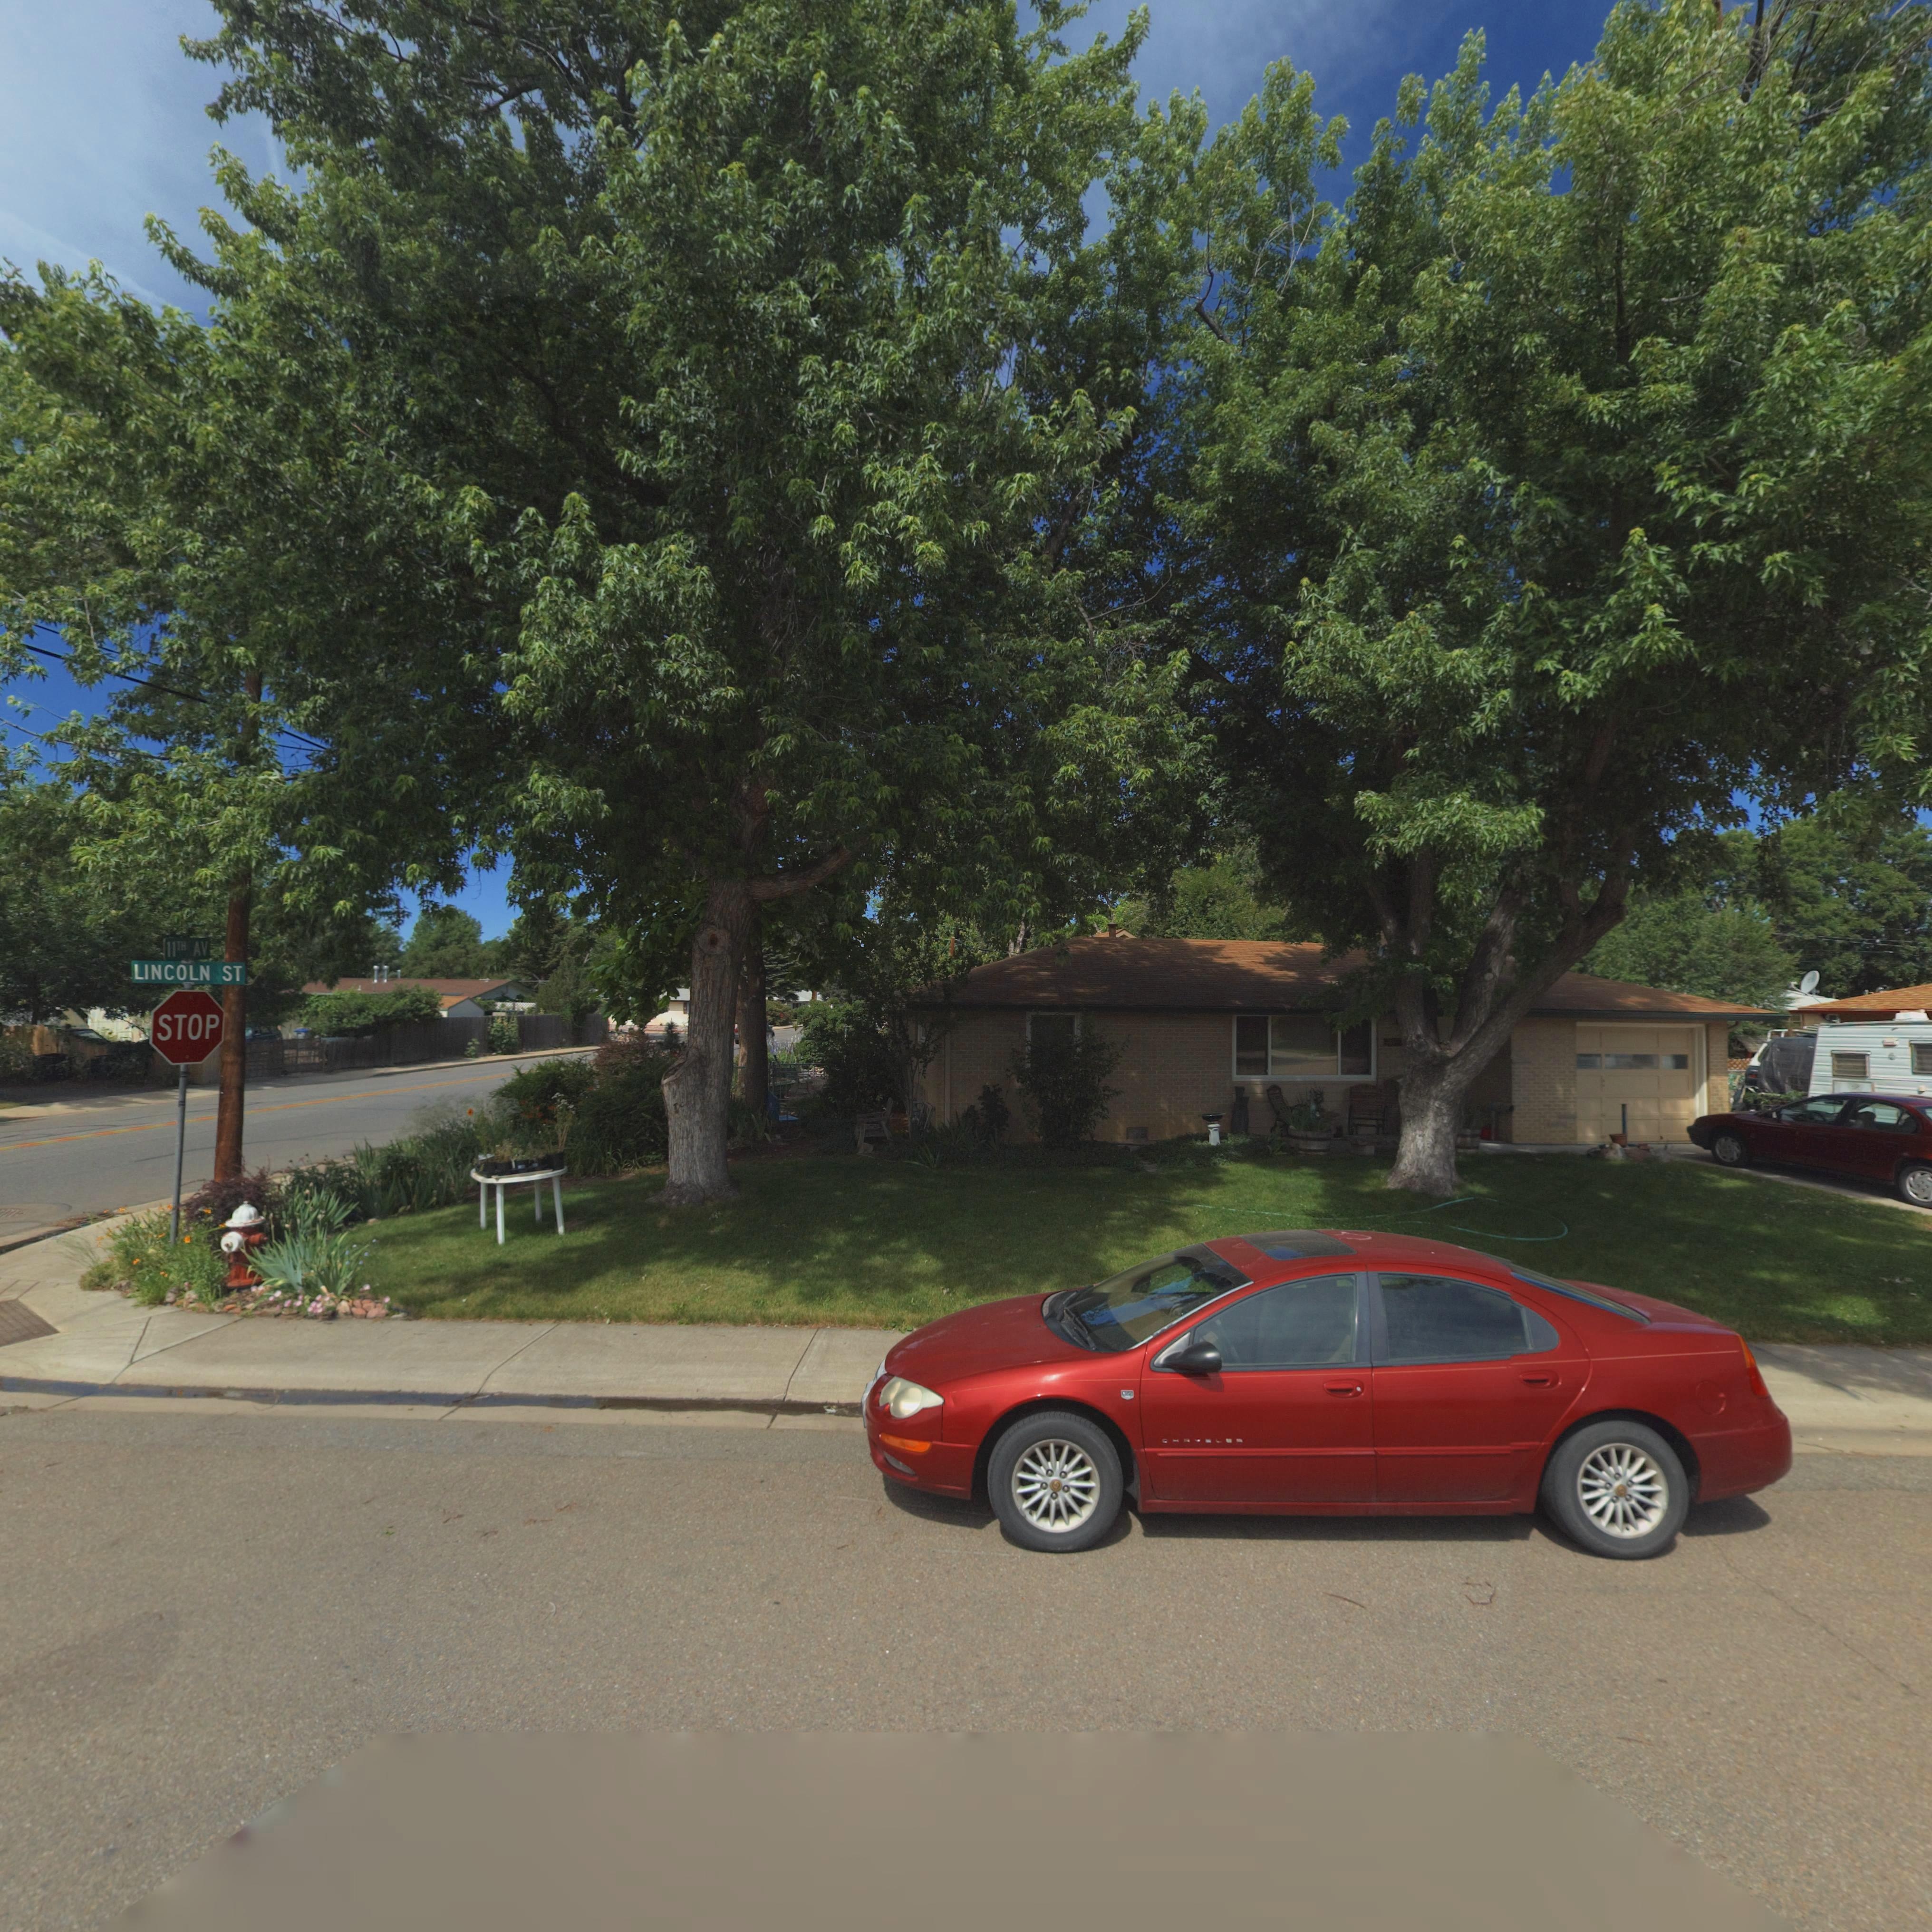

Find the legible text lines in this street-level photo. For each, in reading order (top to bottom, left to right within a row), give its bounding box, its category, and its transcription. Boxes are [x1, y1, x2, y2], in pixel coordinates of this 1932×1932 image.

[166, 940, 209, 957] StreetName: 11TH AV
[134, 963, 243, 982] StreetName: LINCOLN ST